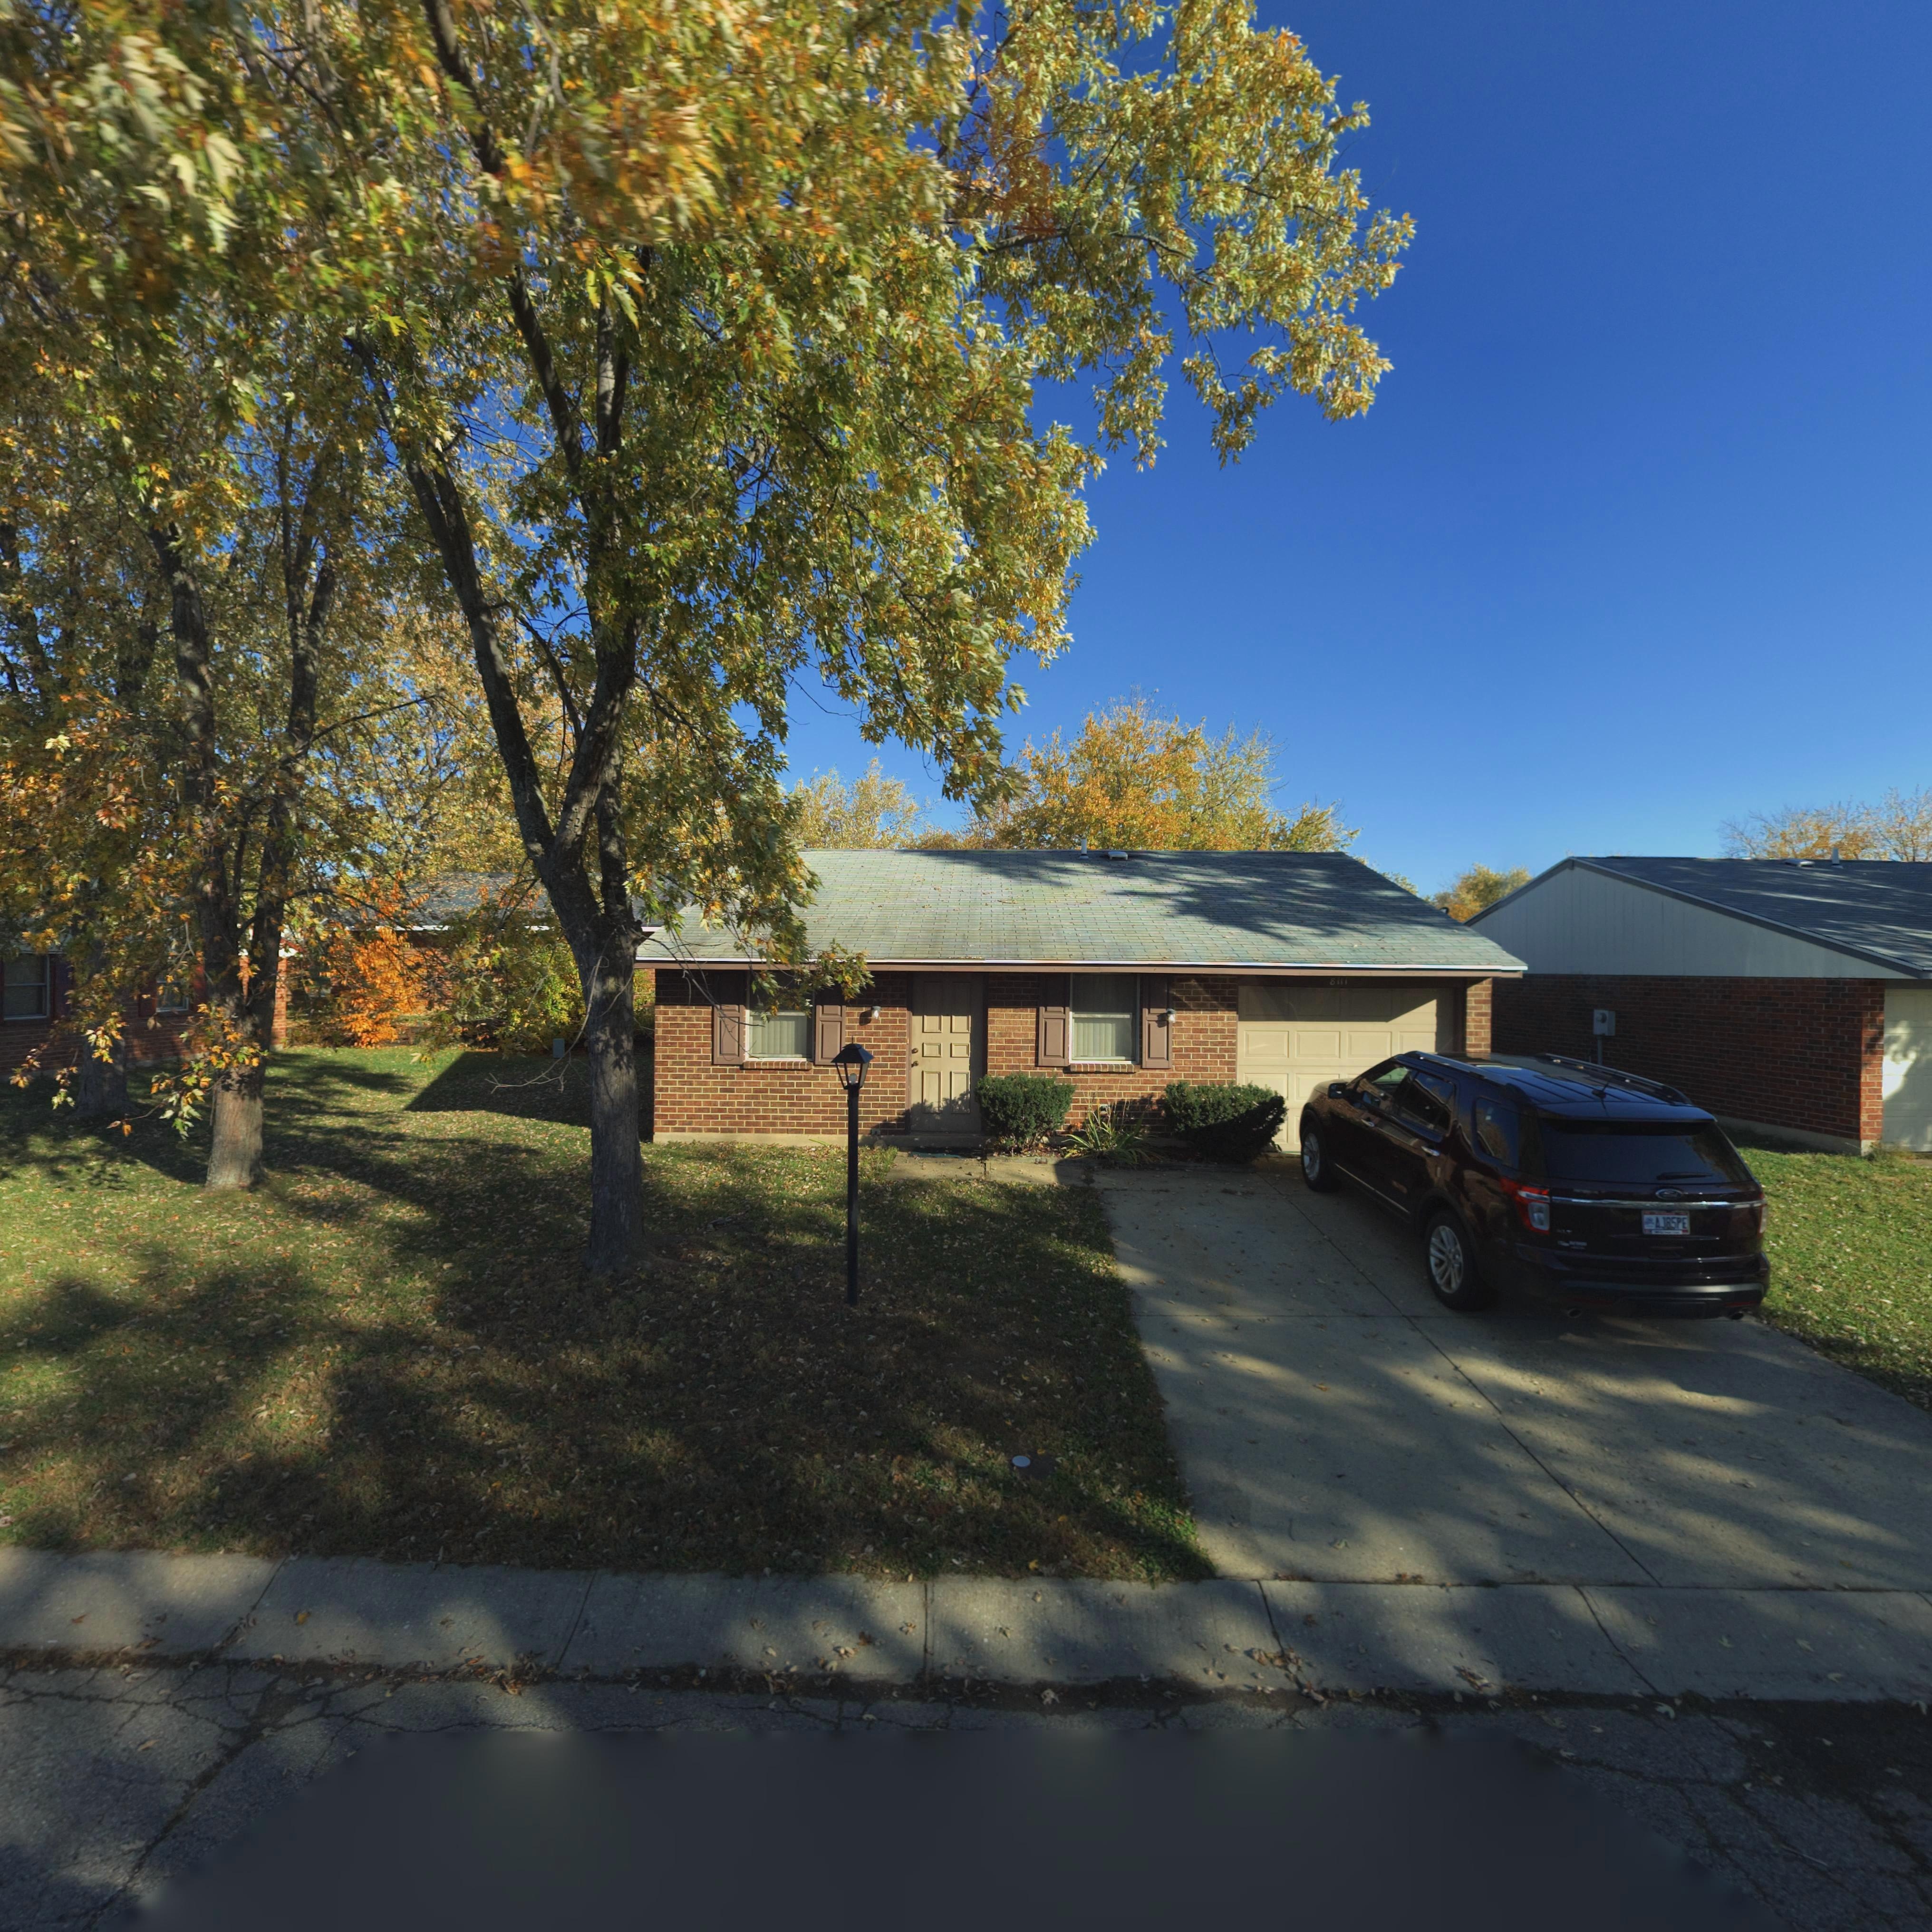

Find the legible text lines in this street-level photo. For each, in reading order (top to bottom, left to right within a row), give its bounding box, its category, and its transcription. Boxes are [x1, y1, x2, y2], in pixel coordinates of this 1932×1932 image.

[1328, 976, 1349, 987] StreetNumber: 8111